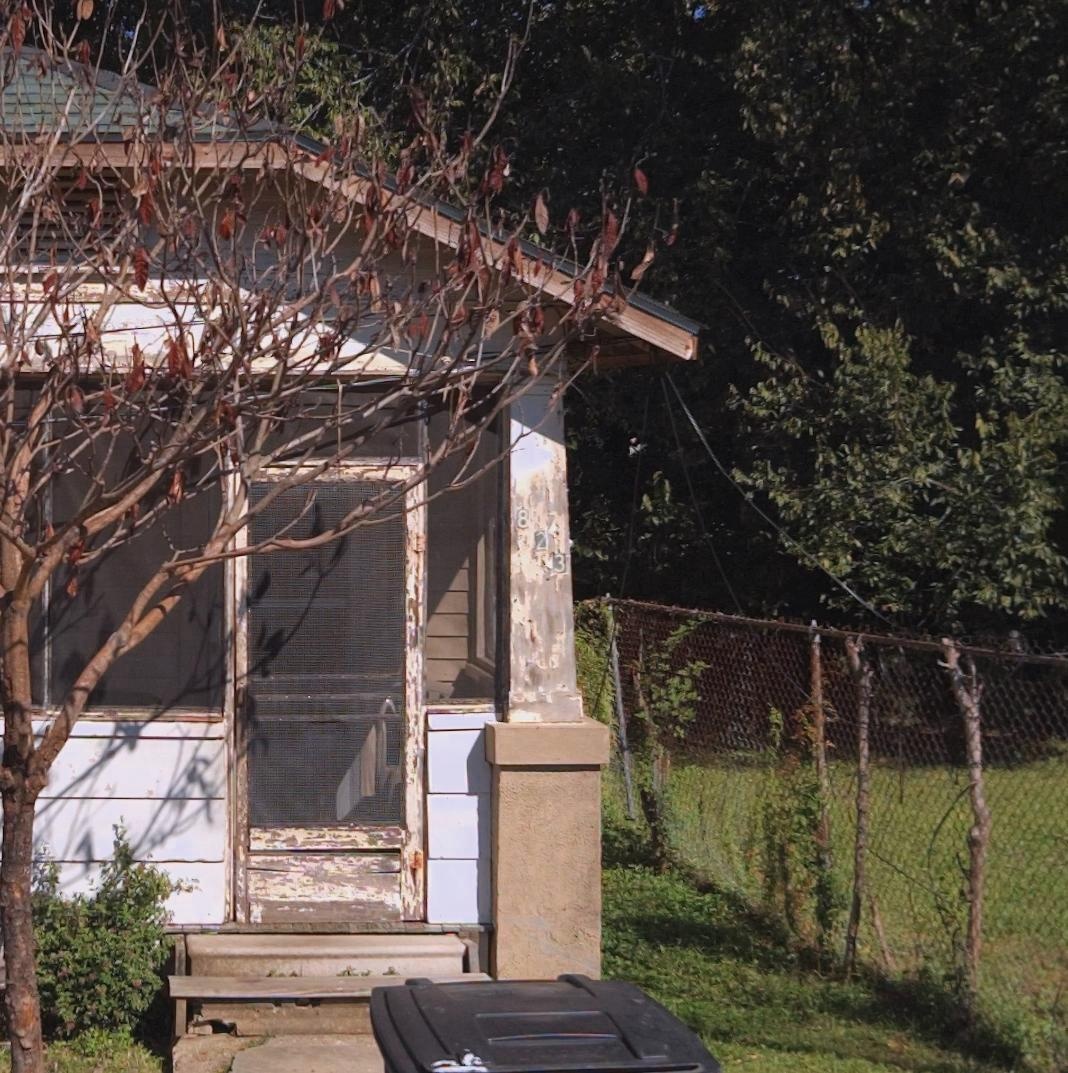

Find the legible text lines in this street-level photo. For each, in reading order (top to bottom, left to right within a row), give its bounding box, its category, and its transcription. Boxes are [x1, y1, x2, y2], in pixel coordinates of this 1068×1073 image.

[515, 507, 569, 582] StreetNumber: 823